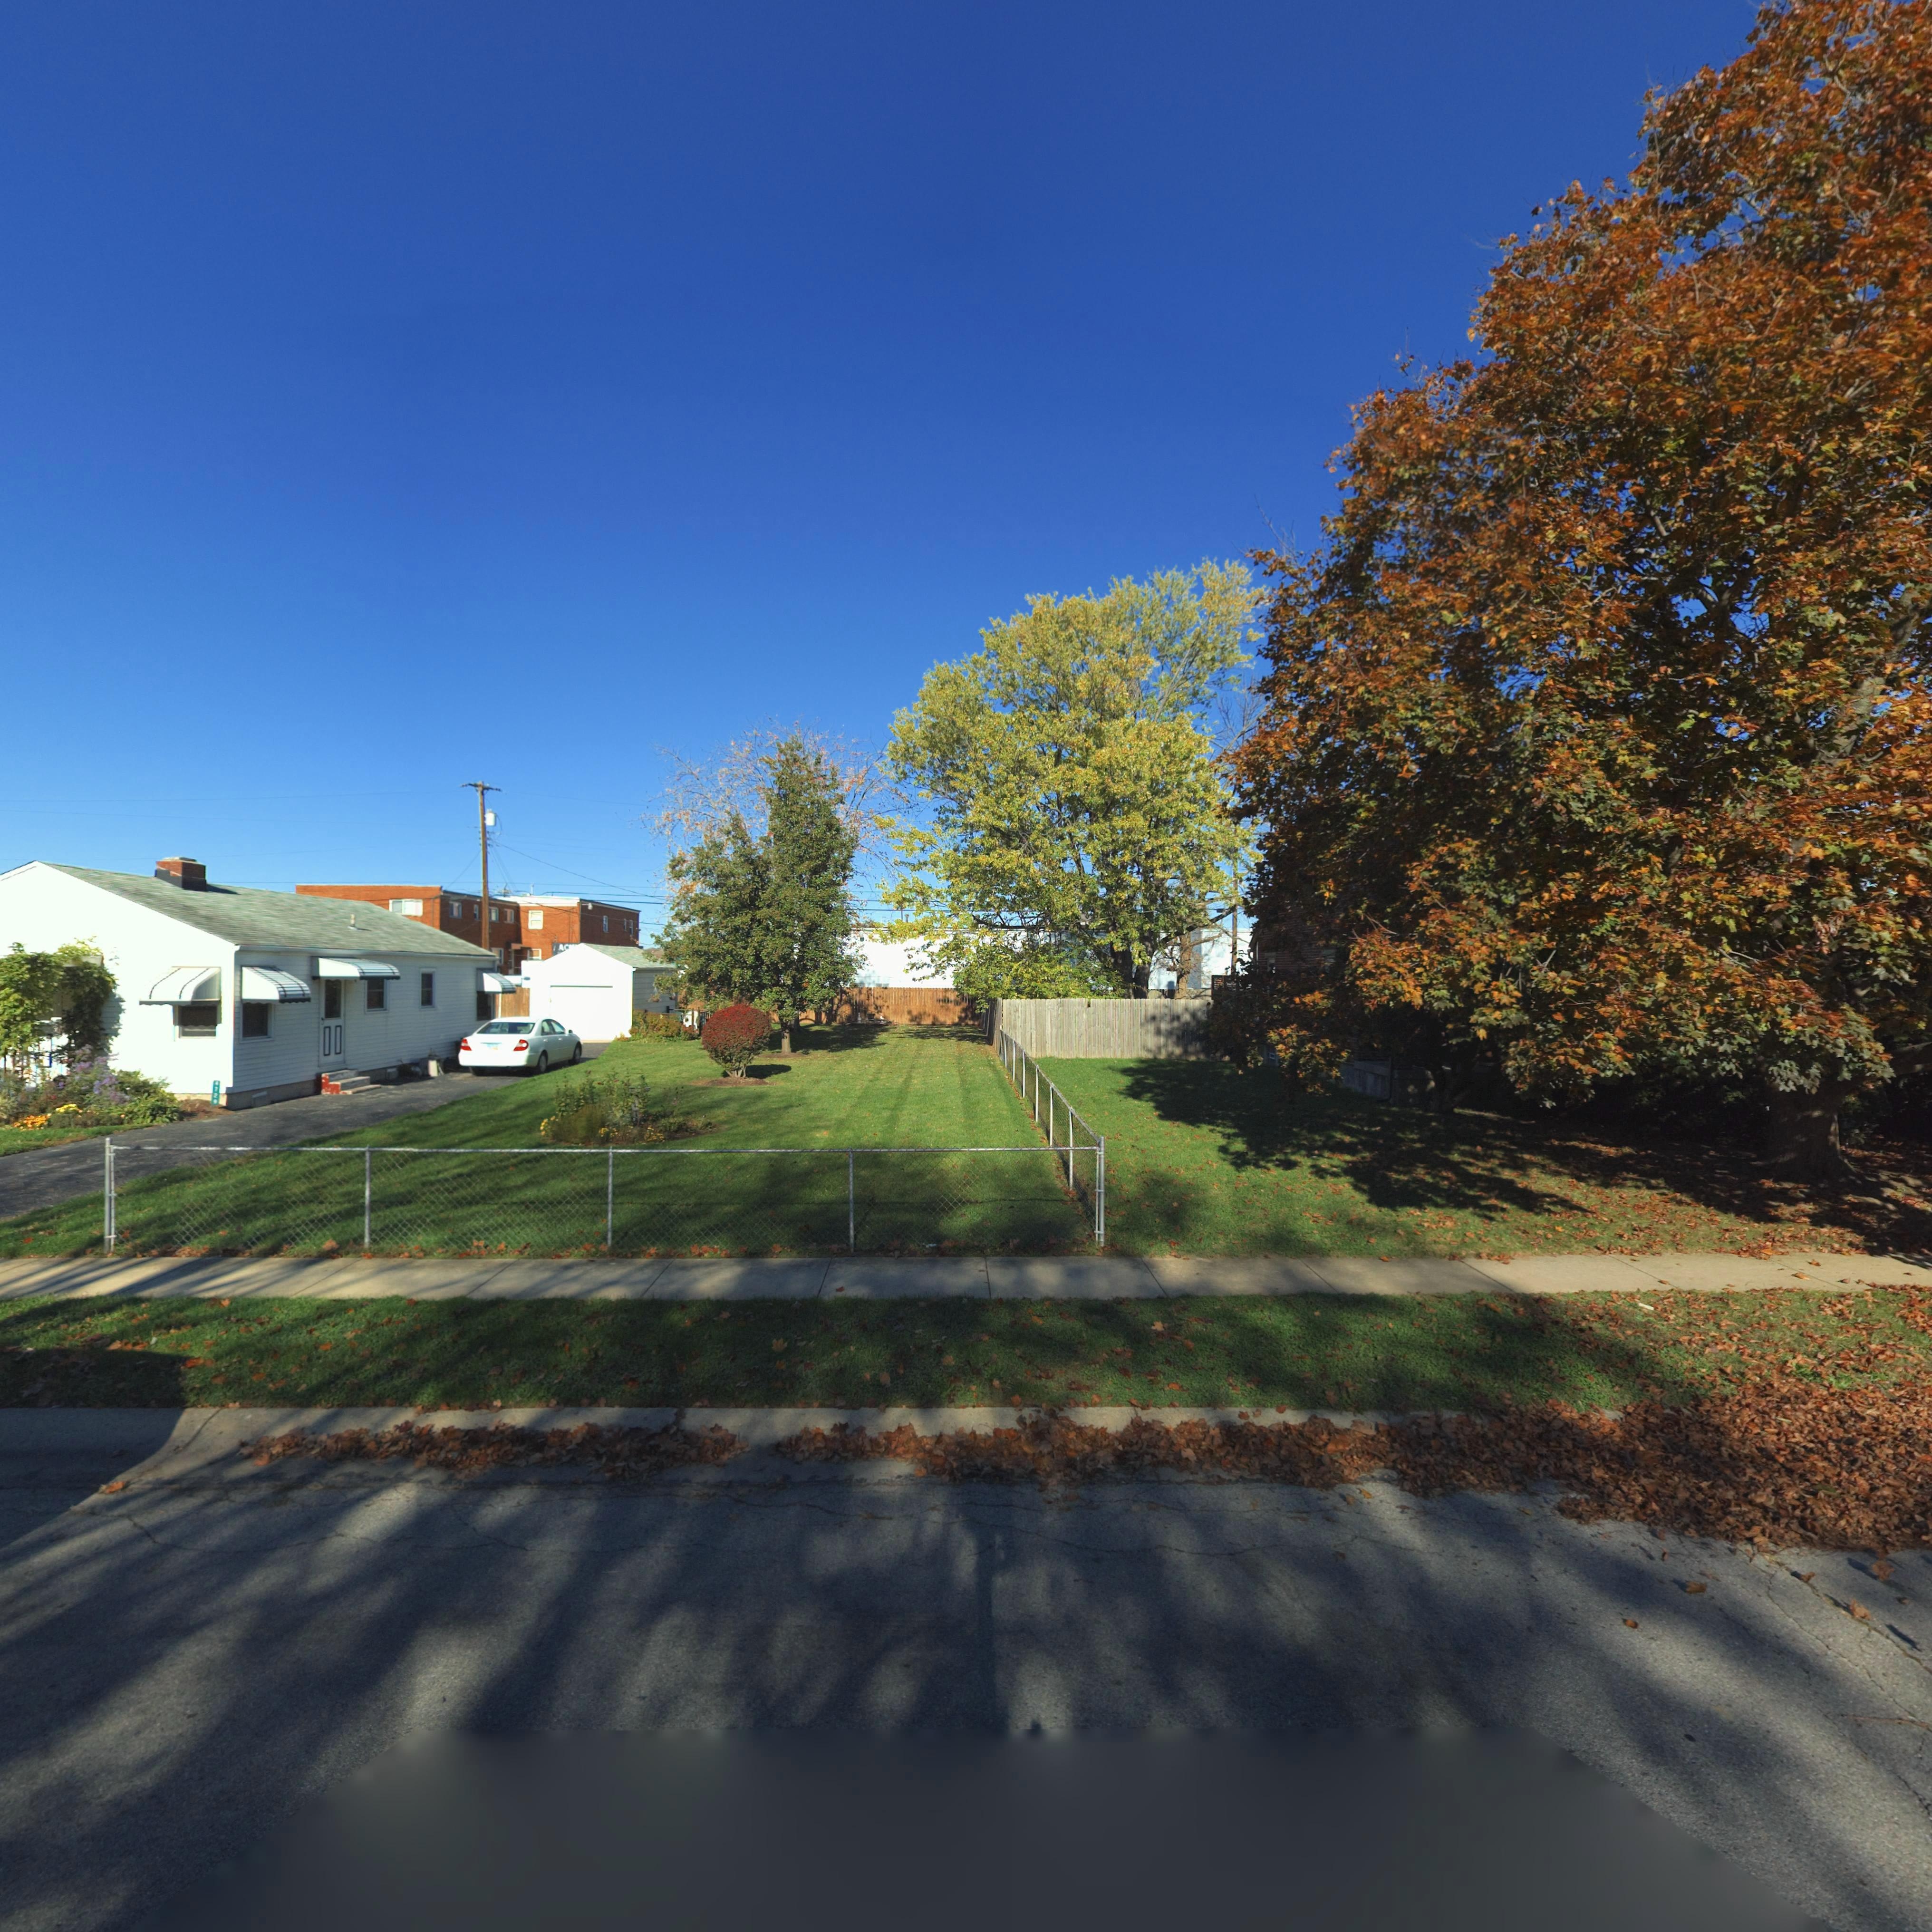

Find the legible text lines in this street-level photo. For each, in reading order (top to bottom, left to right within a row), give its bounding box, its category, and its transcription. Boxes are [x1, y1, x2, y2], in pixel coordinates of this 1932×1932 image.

[212, 1079, 220, 1106] StreetNumber: 4729